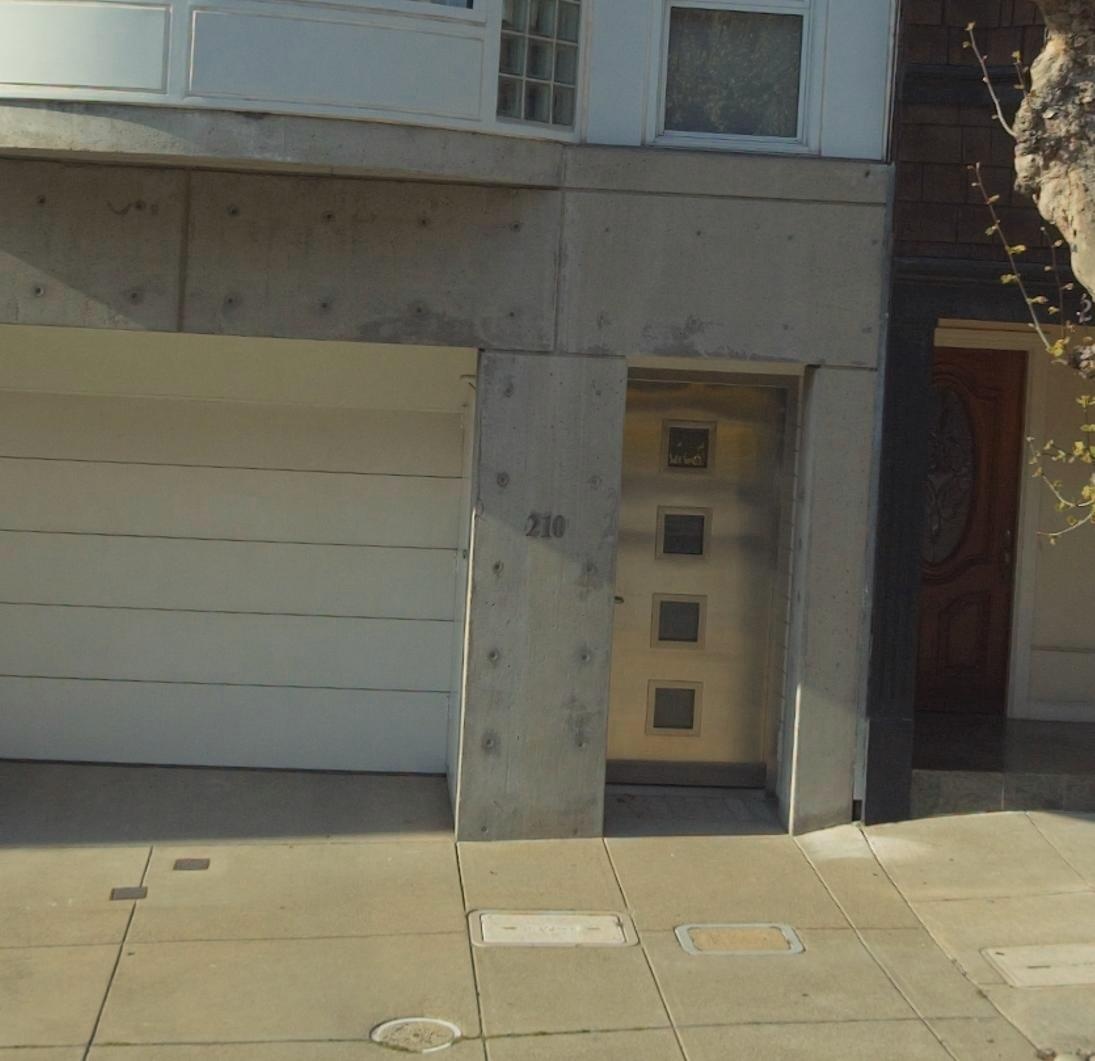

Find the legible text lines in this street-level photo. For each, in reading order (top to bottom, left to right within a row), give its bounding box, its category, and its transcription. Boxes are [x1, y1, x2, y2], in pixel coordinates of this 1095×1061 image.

[524, 509, 569, 542] StreetNumber: 210